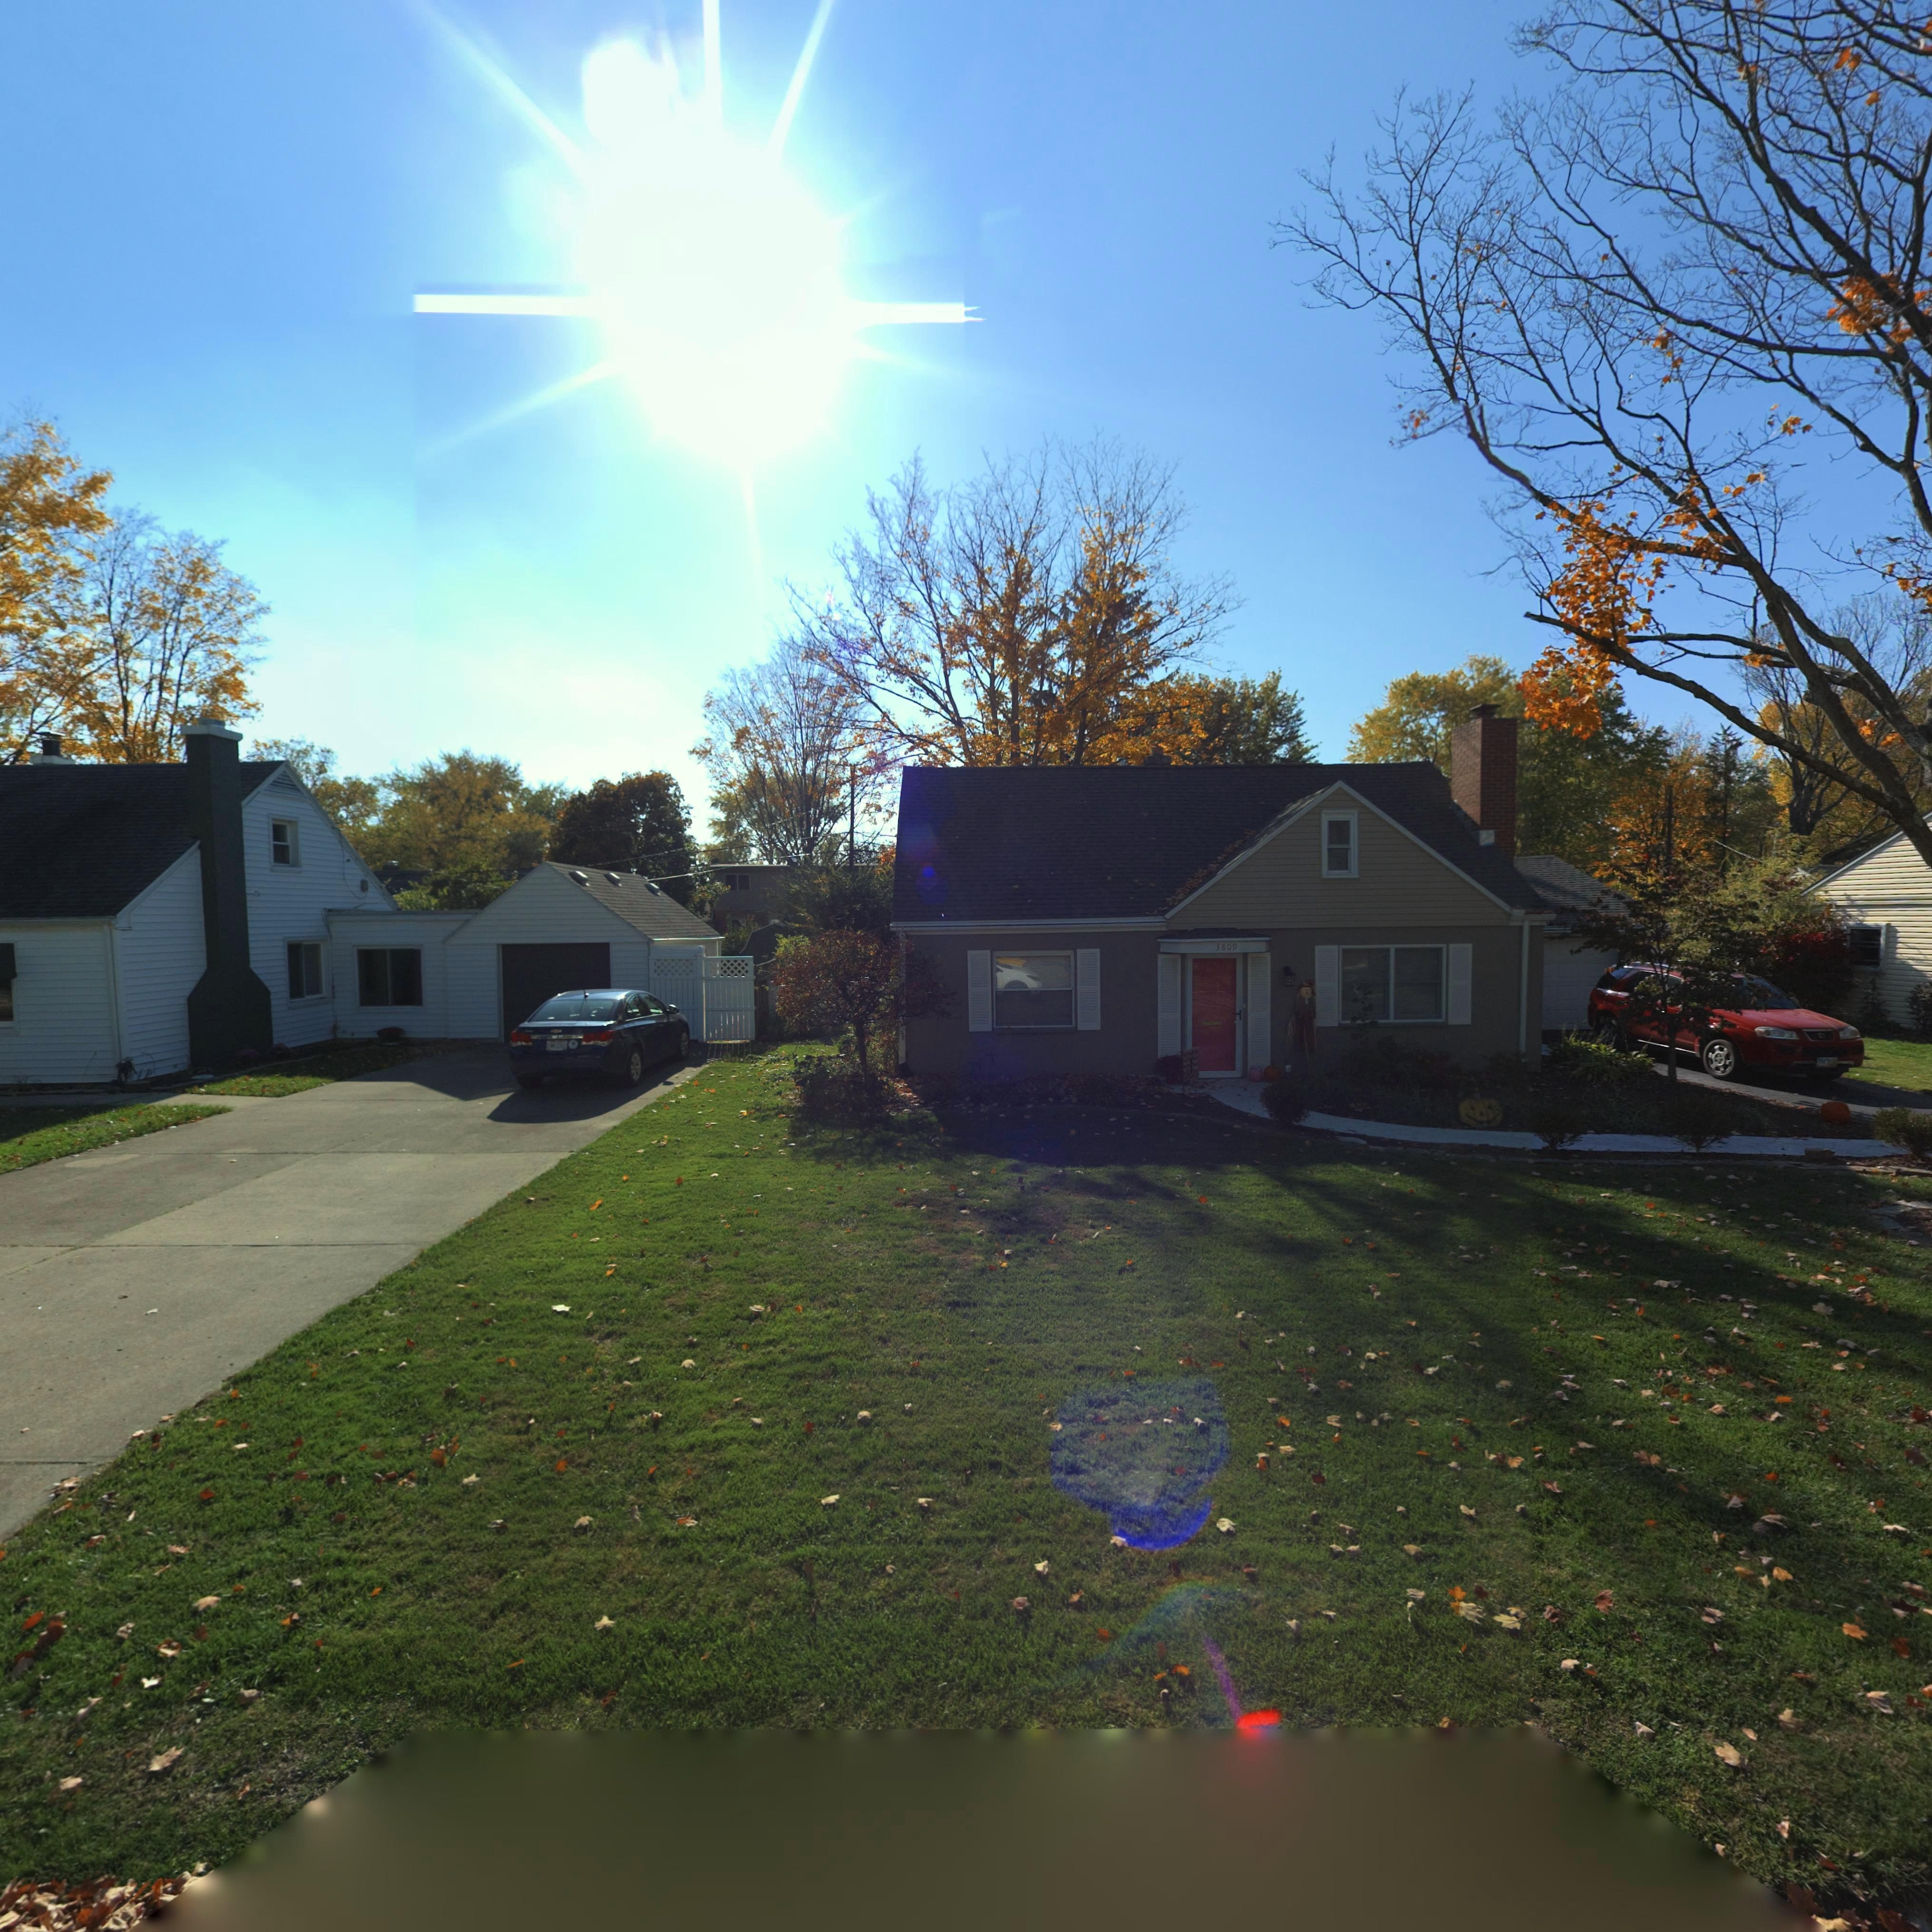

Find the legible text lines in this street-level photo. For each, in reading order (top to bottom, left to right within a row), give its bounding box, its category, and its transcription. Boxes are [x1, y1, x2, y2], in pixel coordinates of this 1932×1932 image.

[1215, 943, 1238, 951] StreetNumber: 3809